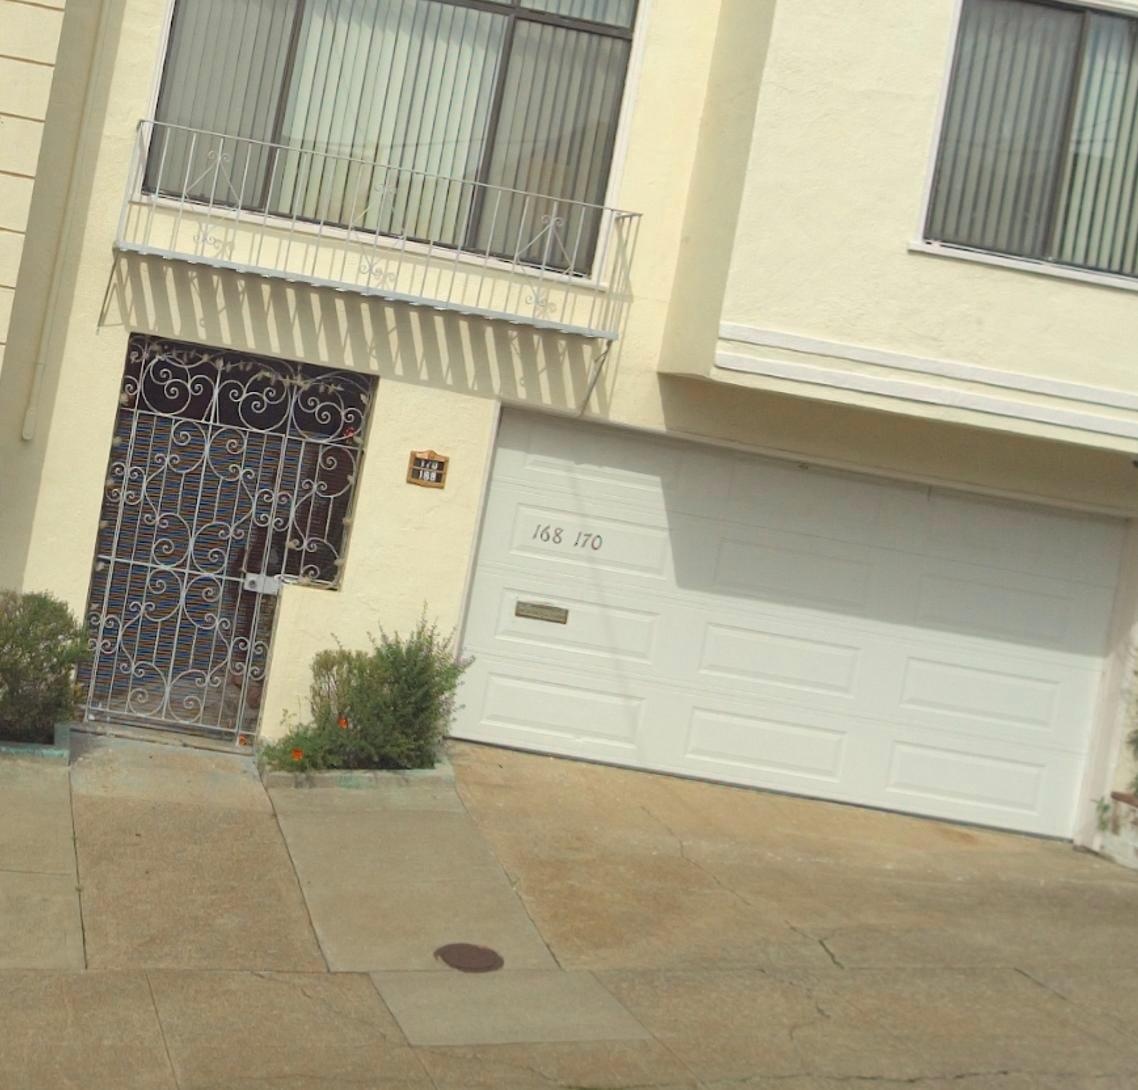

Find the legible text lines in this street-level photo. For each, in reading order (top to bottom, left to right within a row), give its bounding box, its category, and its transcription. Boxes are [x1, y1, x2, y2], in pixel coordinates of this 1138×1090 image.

[416, 467, 438, 484] StreetNumber: 168
[419, 457, 440, 471] StreetNumber: 170
[530, 521, 567, 547] StreetNumber: 168
[569, 529, 605, 553] StreetNumber: 170